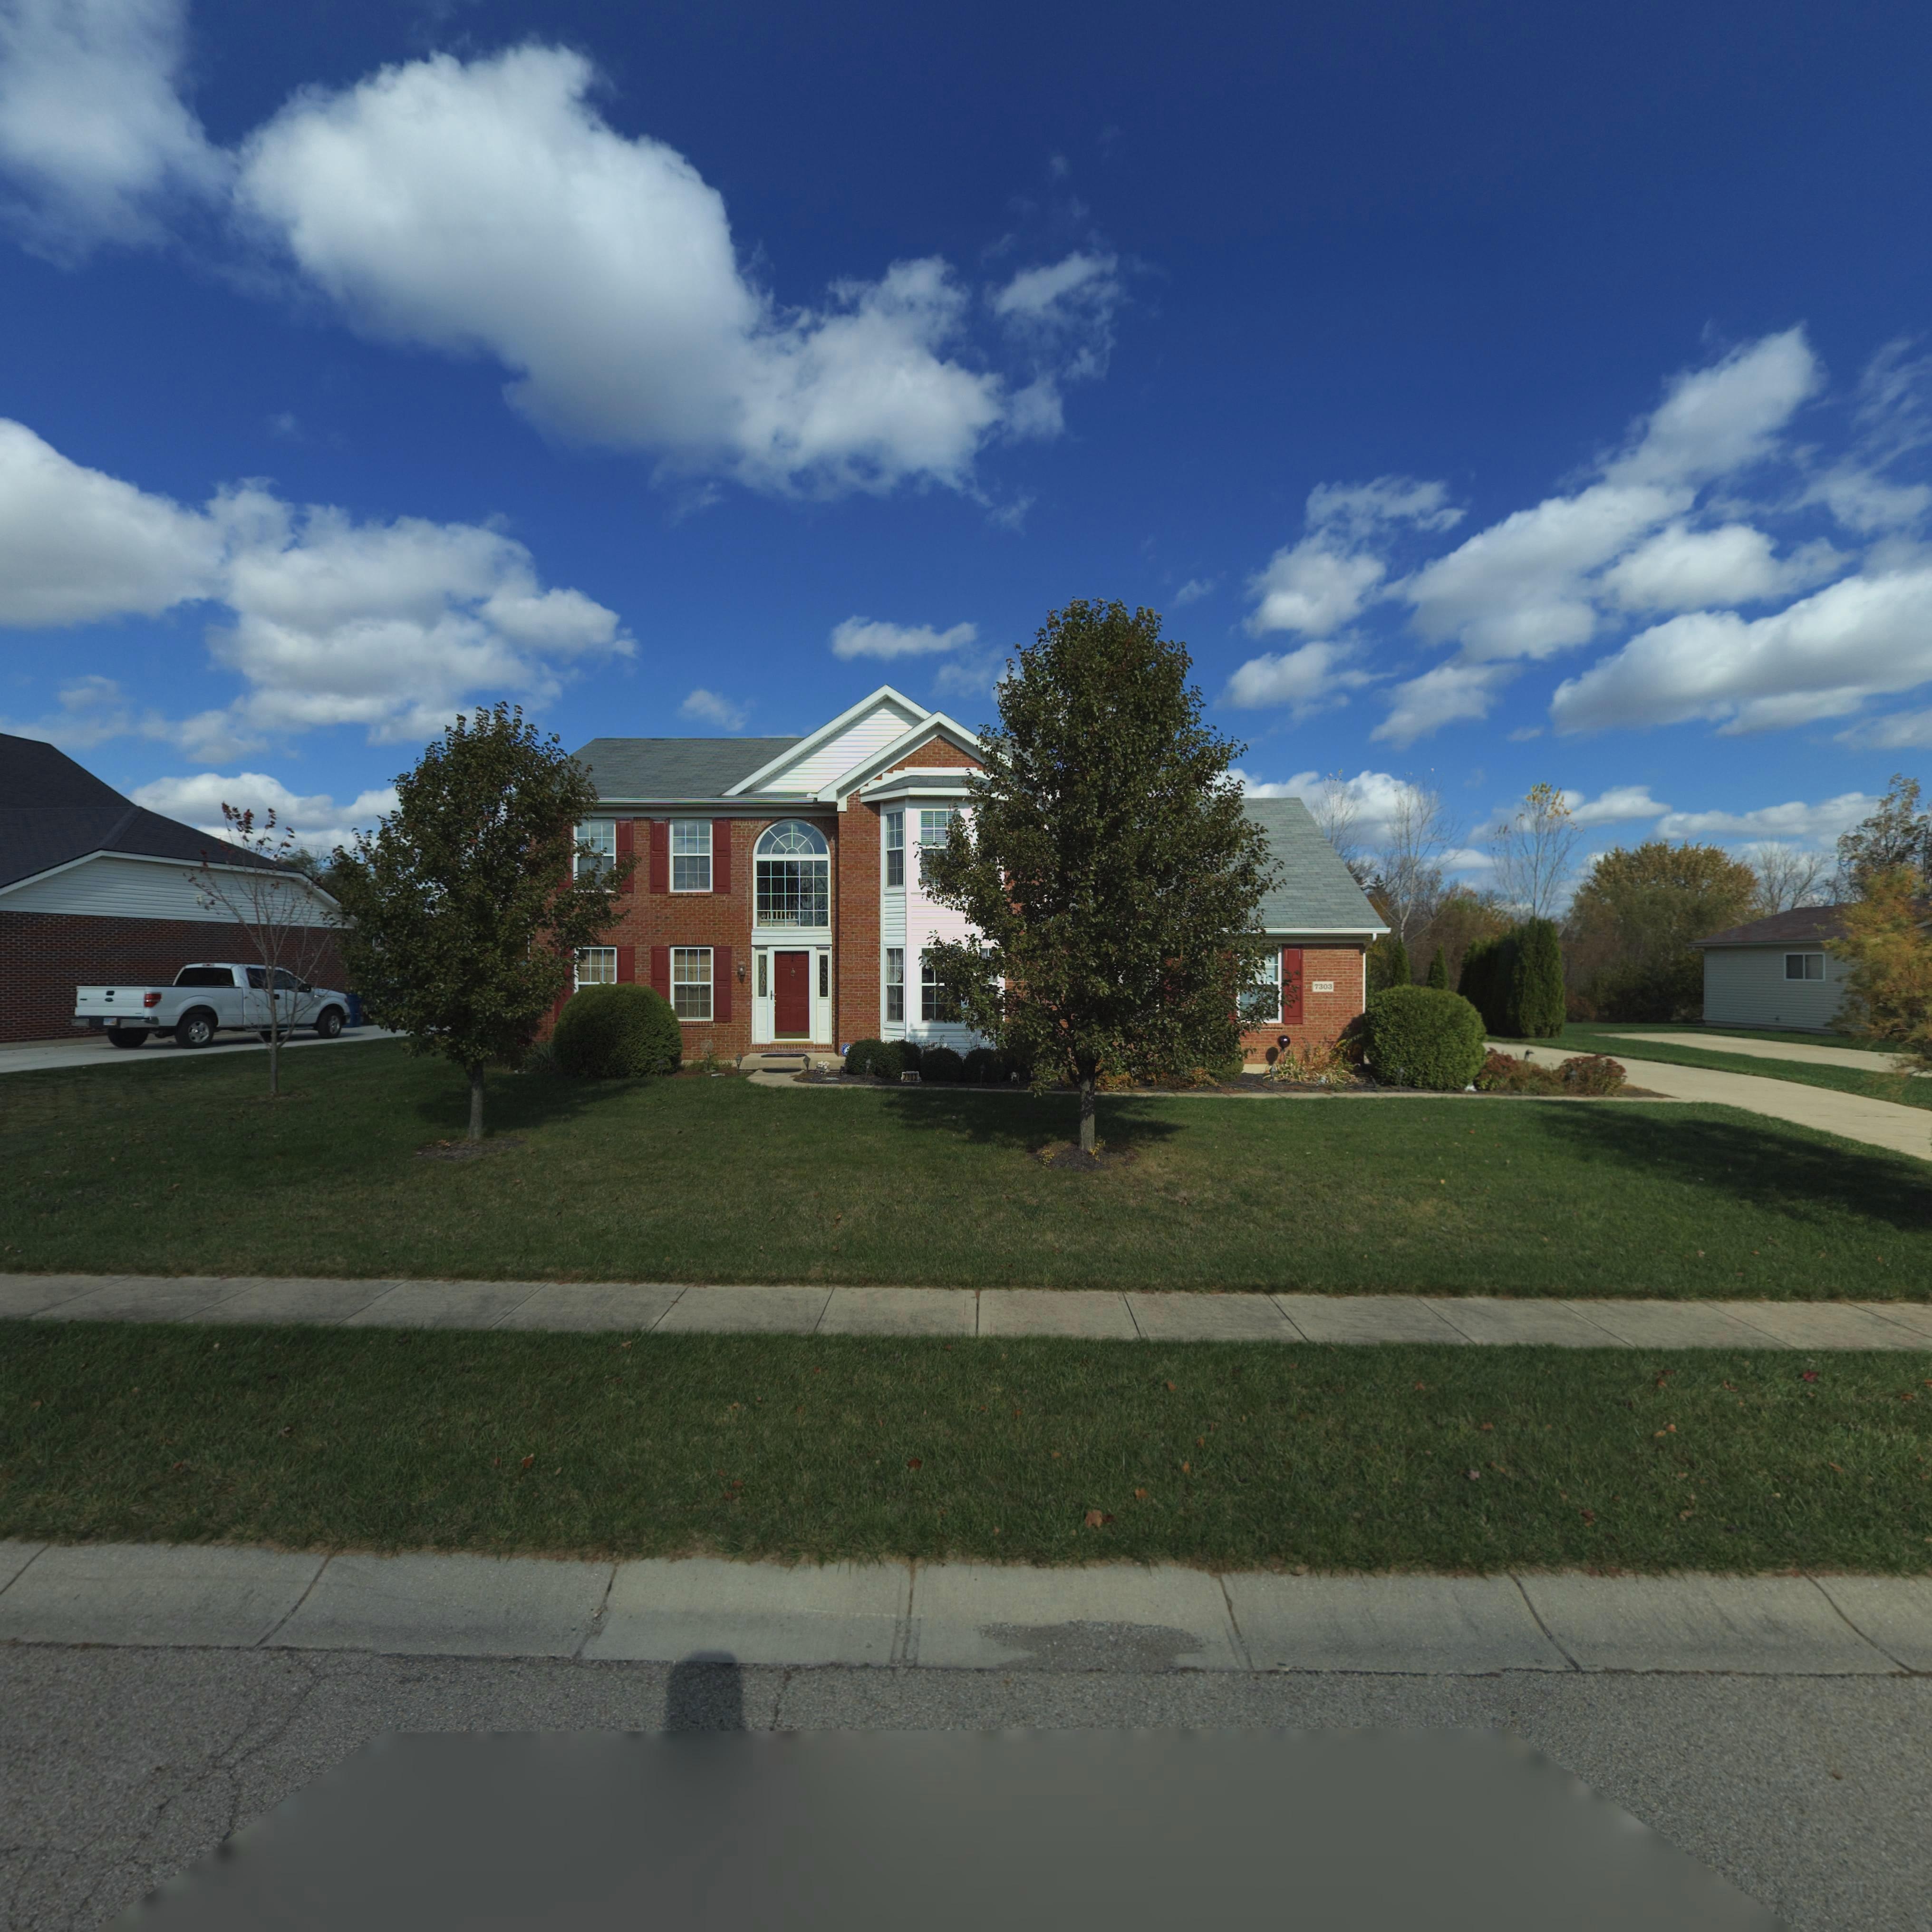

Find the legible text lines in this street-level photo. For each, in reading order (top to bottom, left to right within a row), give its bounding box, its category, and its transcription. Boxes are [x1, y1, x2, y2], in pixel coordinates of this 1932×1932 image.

[1314, 983, 1333, 990] StreetNumber: 7303
[903, 1073, 918, 1081] StreetNumber: 7303